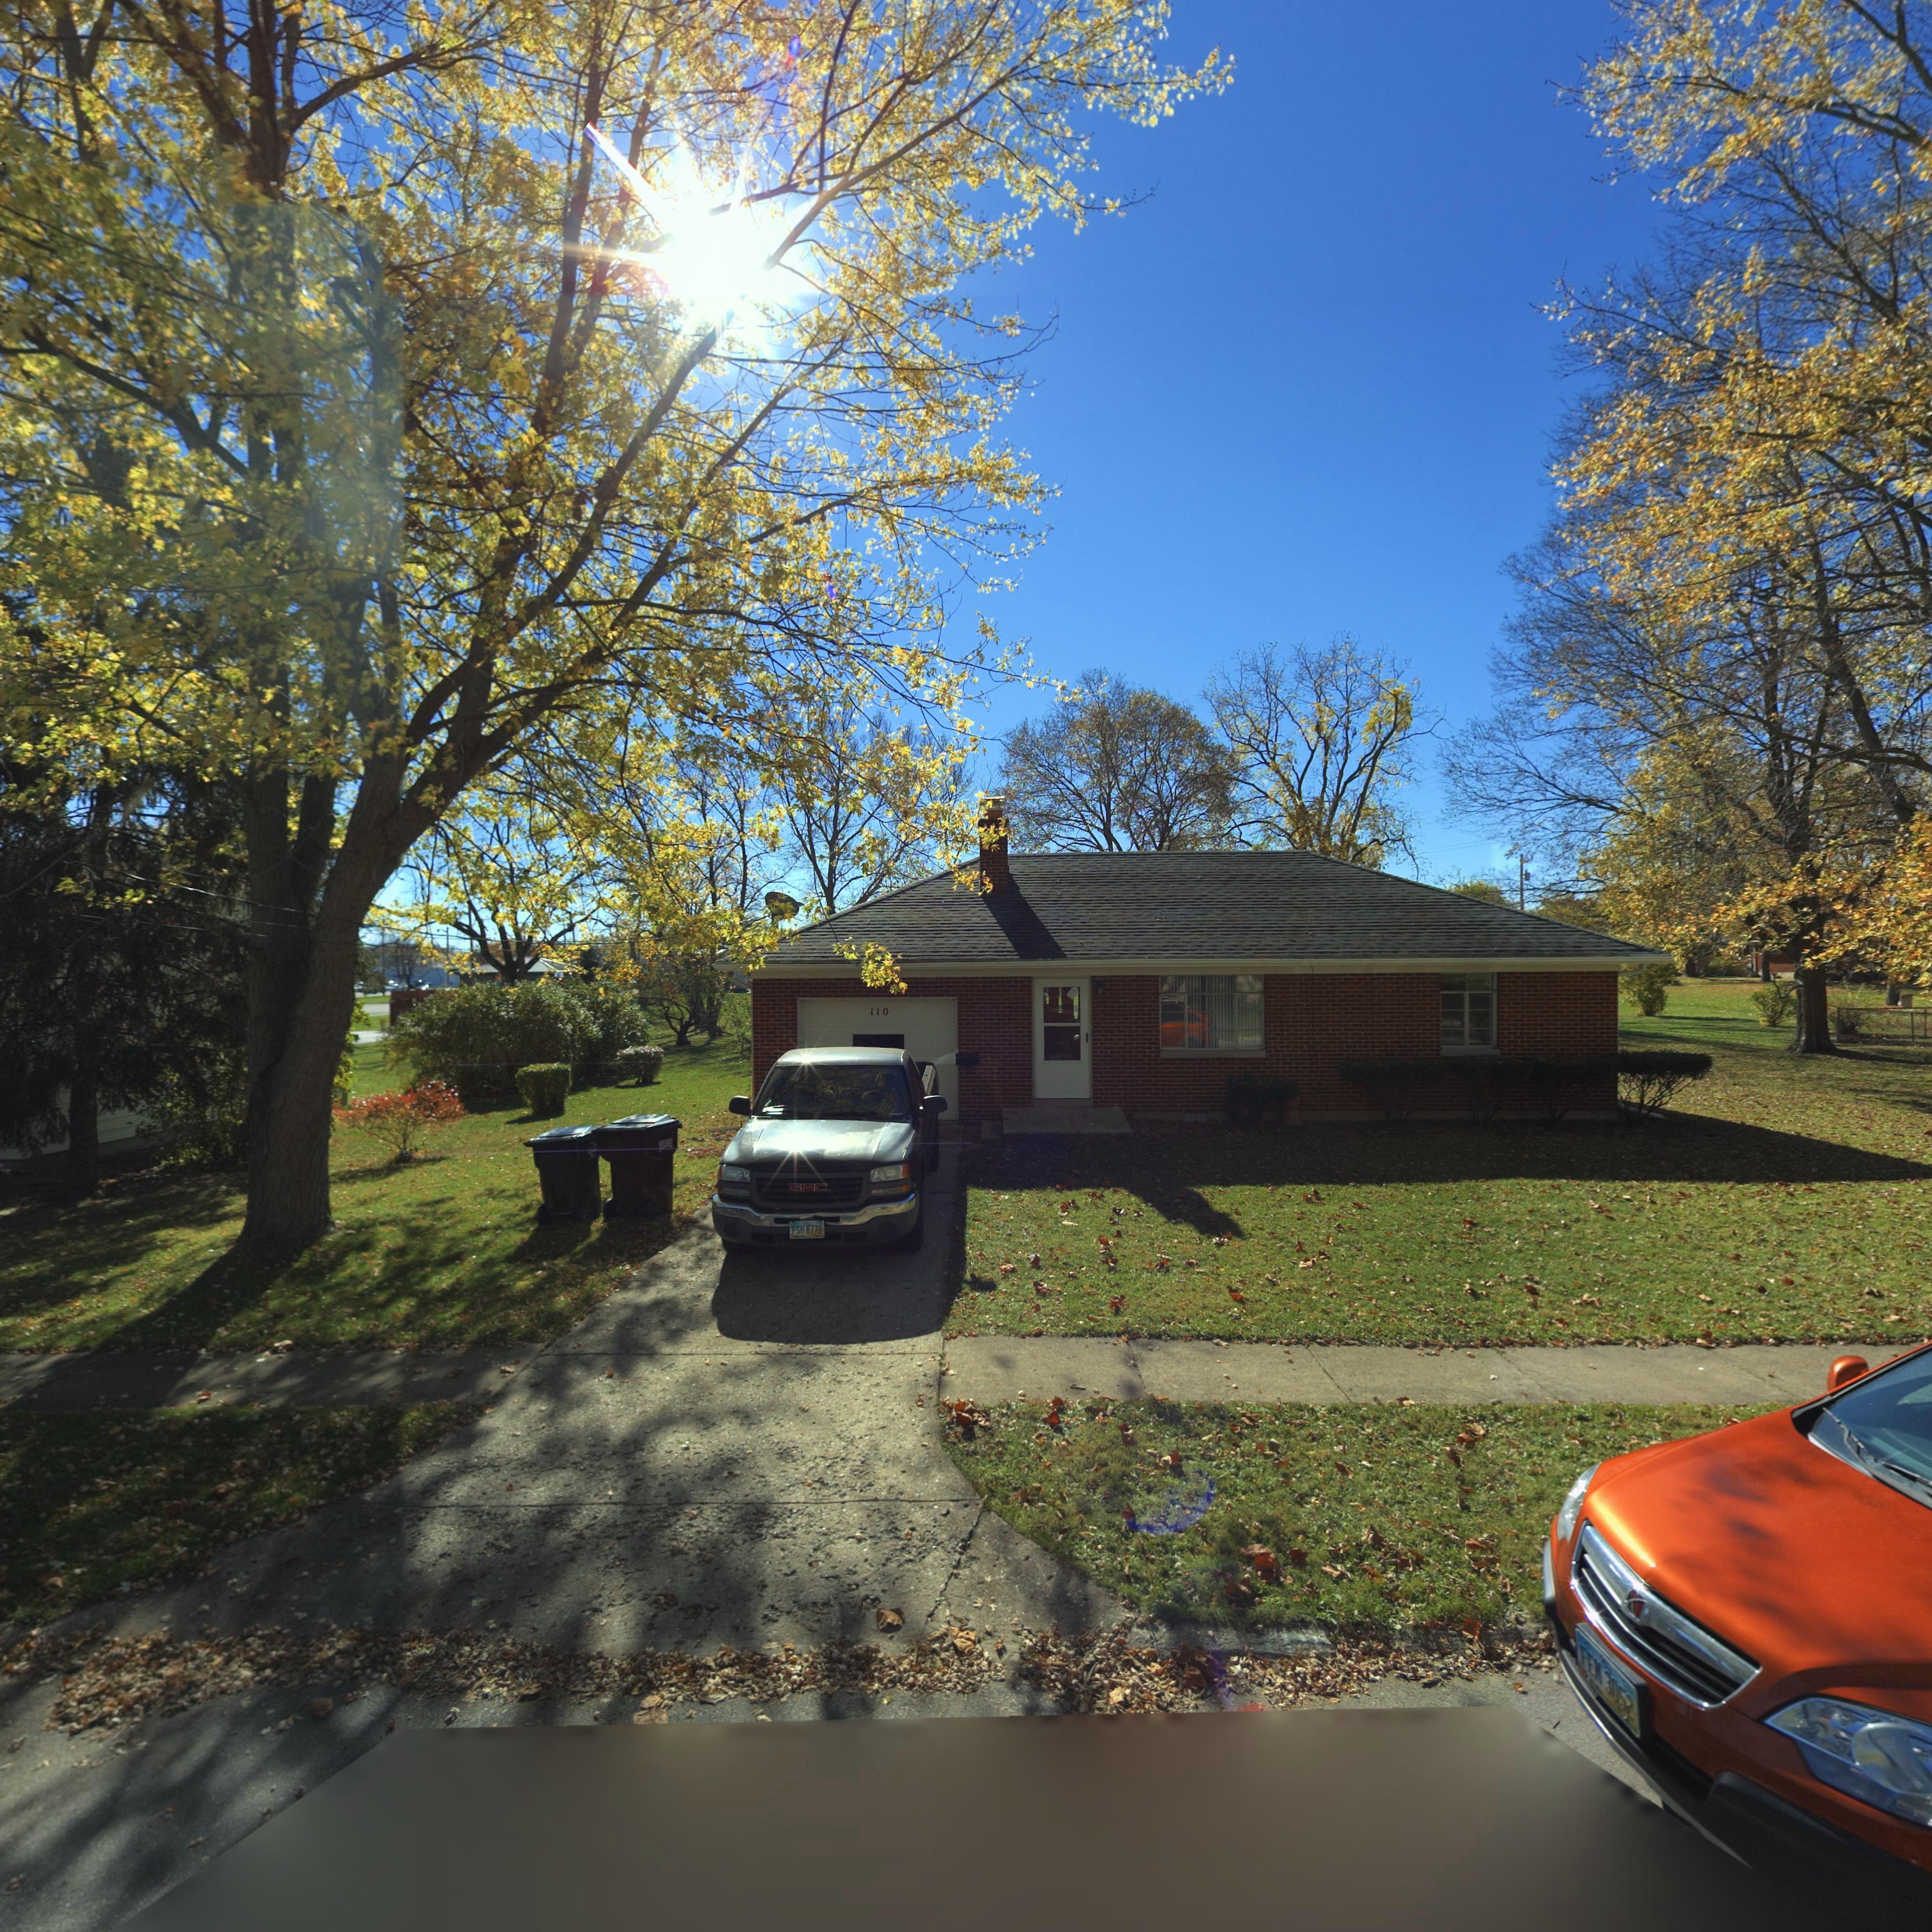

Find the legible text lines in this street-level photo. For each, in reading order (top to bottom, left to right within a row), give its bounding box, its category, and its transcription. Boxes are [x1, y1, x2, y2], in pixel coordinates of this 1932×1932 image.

[870, 1007, 889, 1016] StreetNumber: 110
[788, 1182, 828, 1193] None: GMC
[792, 1225, 822, 1235] None: FSH*8778
[1579, 1641, 1636, 1725] None: FEN*3052